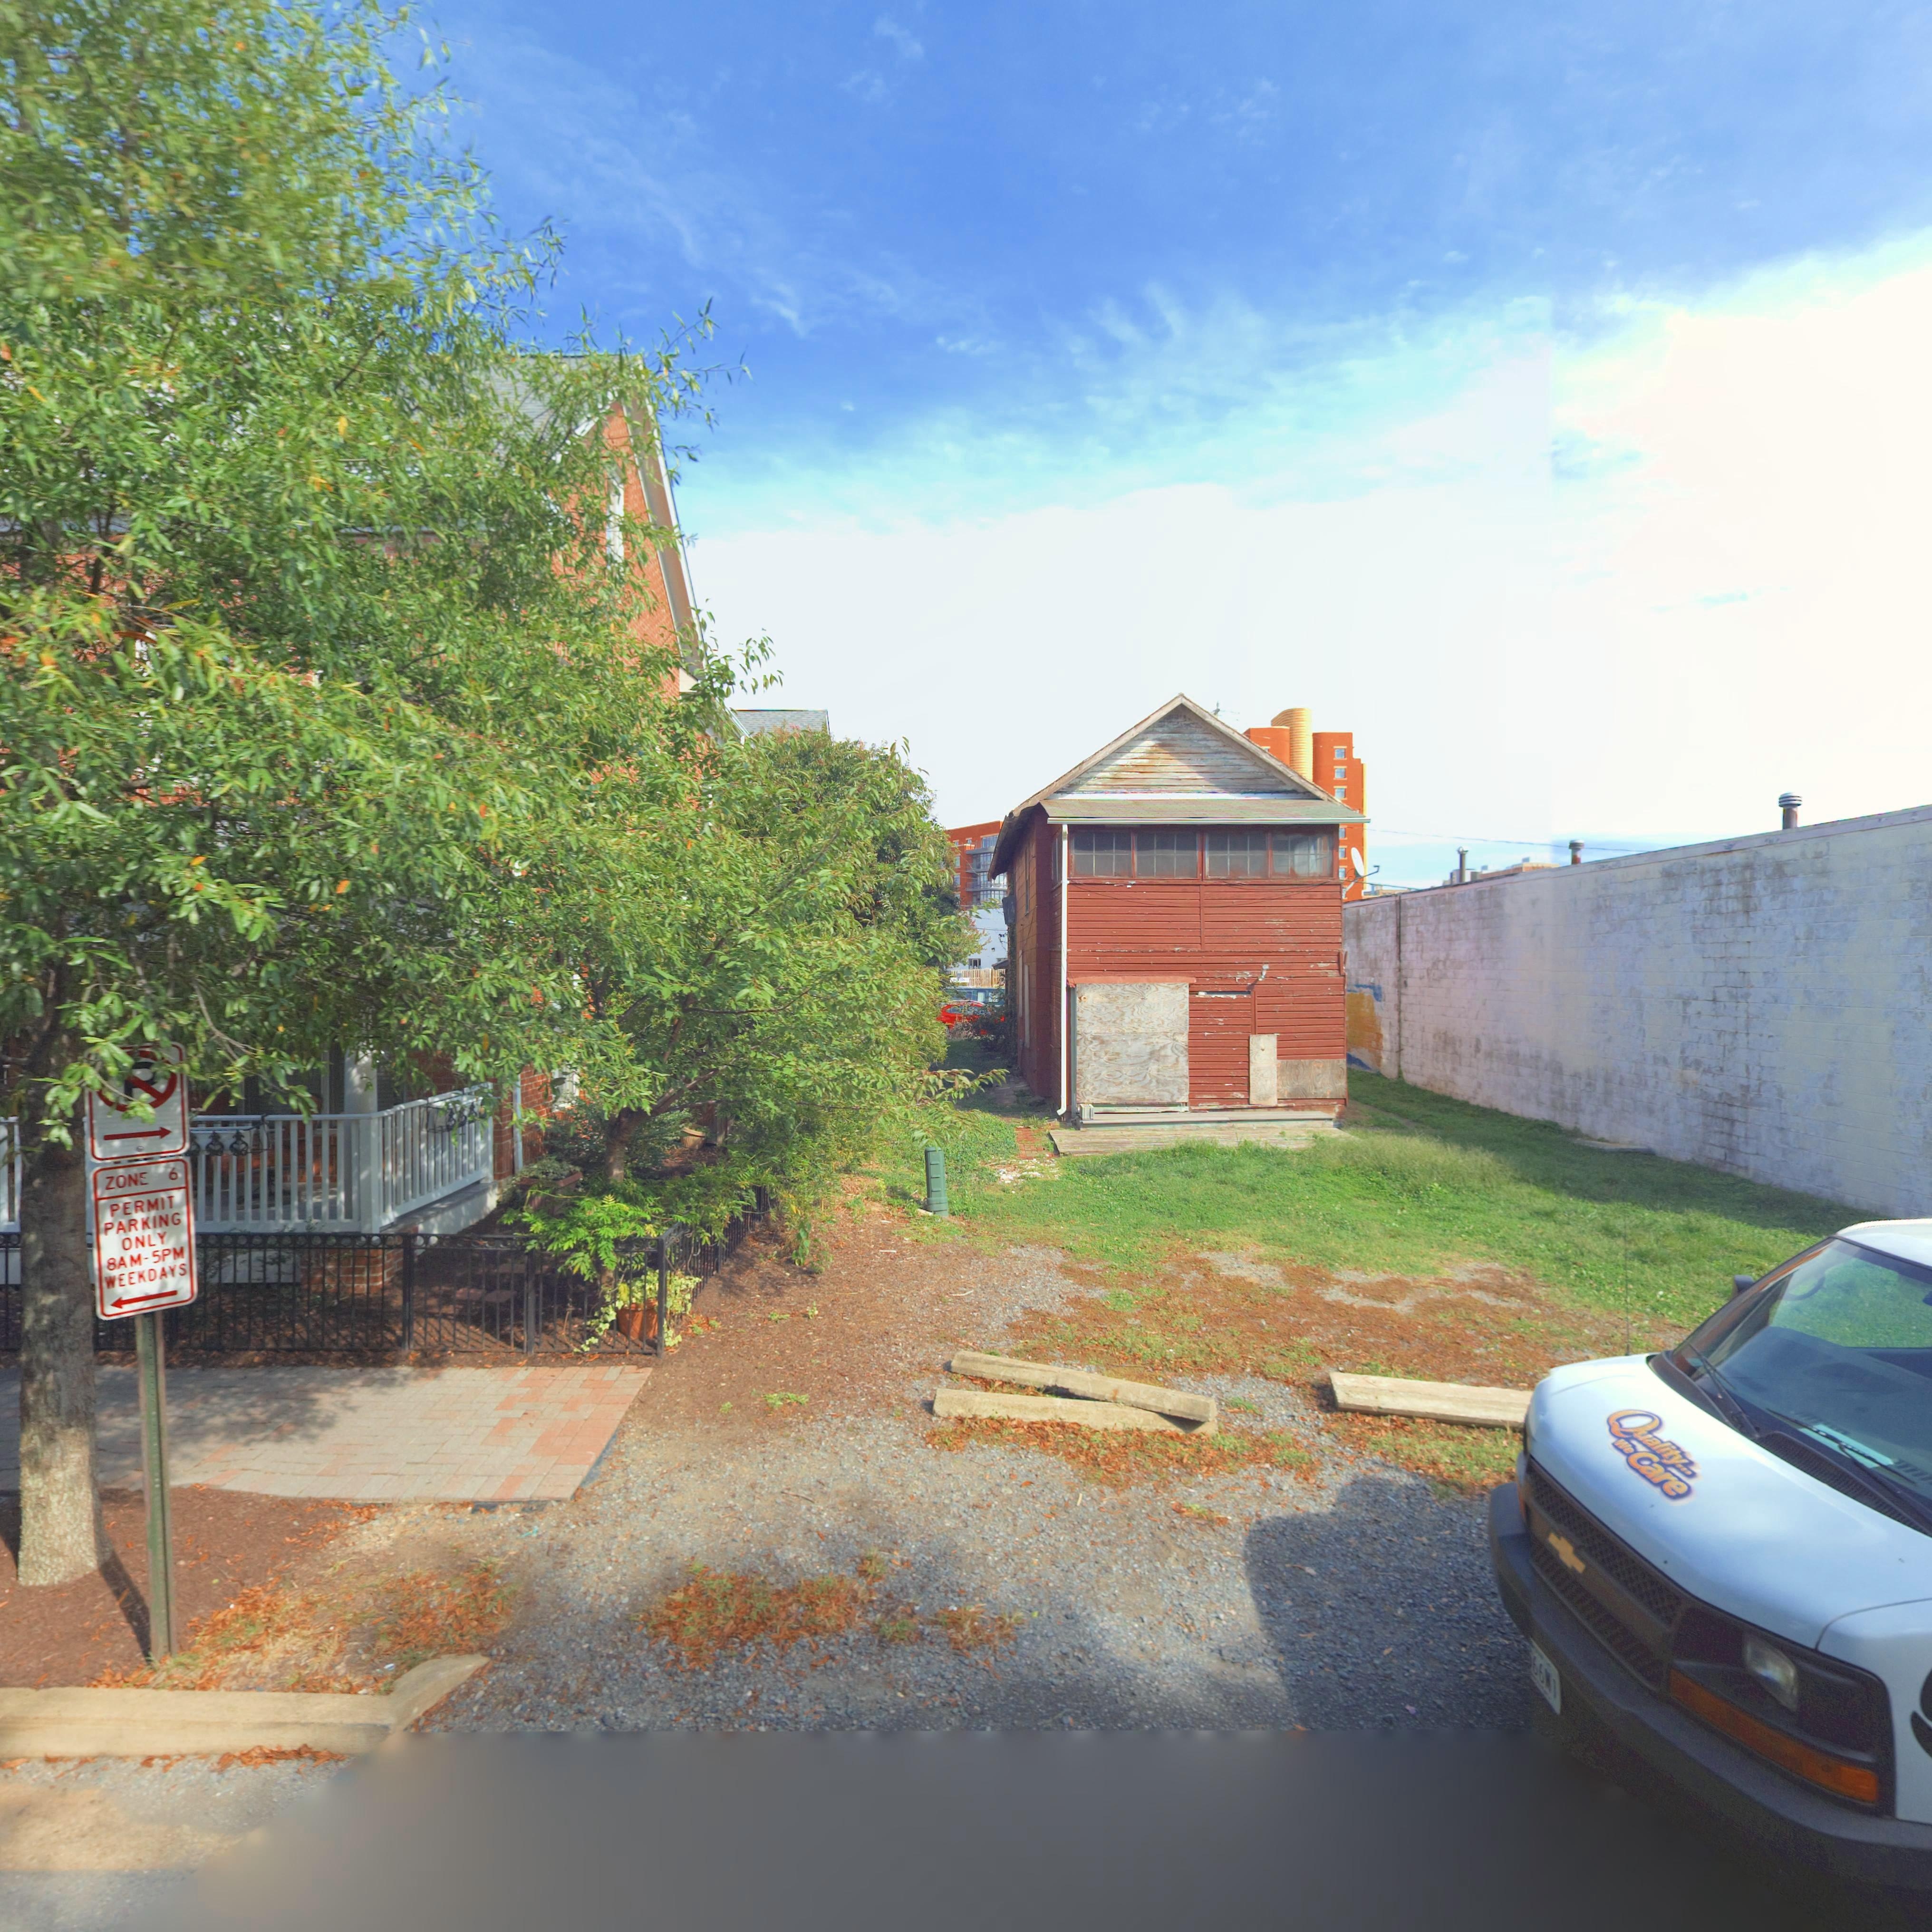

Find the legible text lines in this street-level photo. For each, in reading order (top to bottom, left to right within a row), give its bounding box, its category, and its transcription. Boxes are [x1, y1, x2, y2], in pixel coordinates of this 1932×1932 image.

[103, 1165, 180, 1192] None: ZON* 6
[108, 1194, 175, 1220] None: PERMIT
[102, 1210, 183, 1237] None: PARKING
[120, 1229, 168, 1253] None: ONLY
[105, 1244, 186, 1273] None: 8AM - 5PM
[102, 1261, 189, 1292] None: *EEKDAYS
[1605, 1407, 1693, 1467] None: Quality
[1612, 1436, 1690, 1499] None: We Care